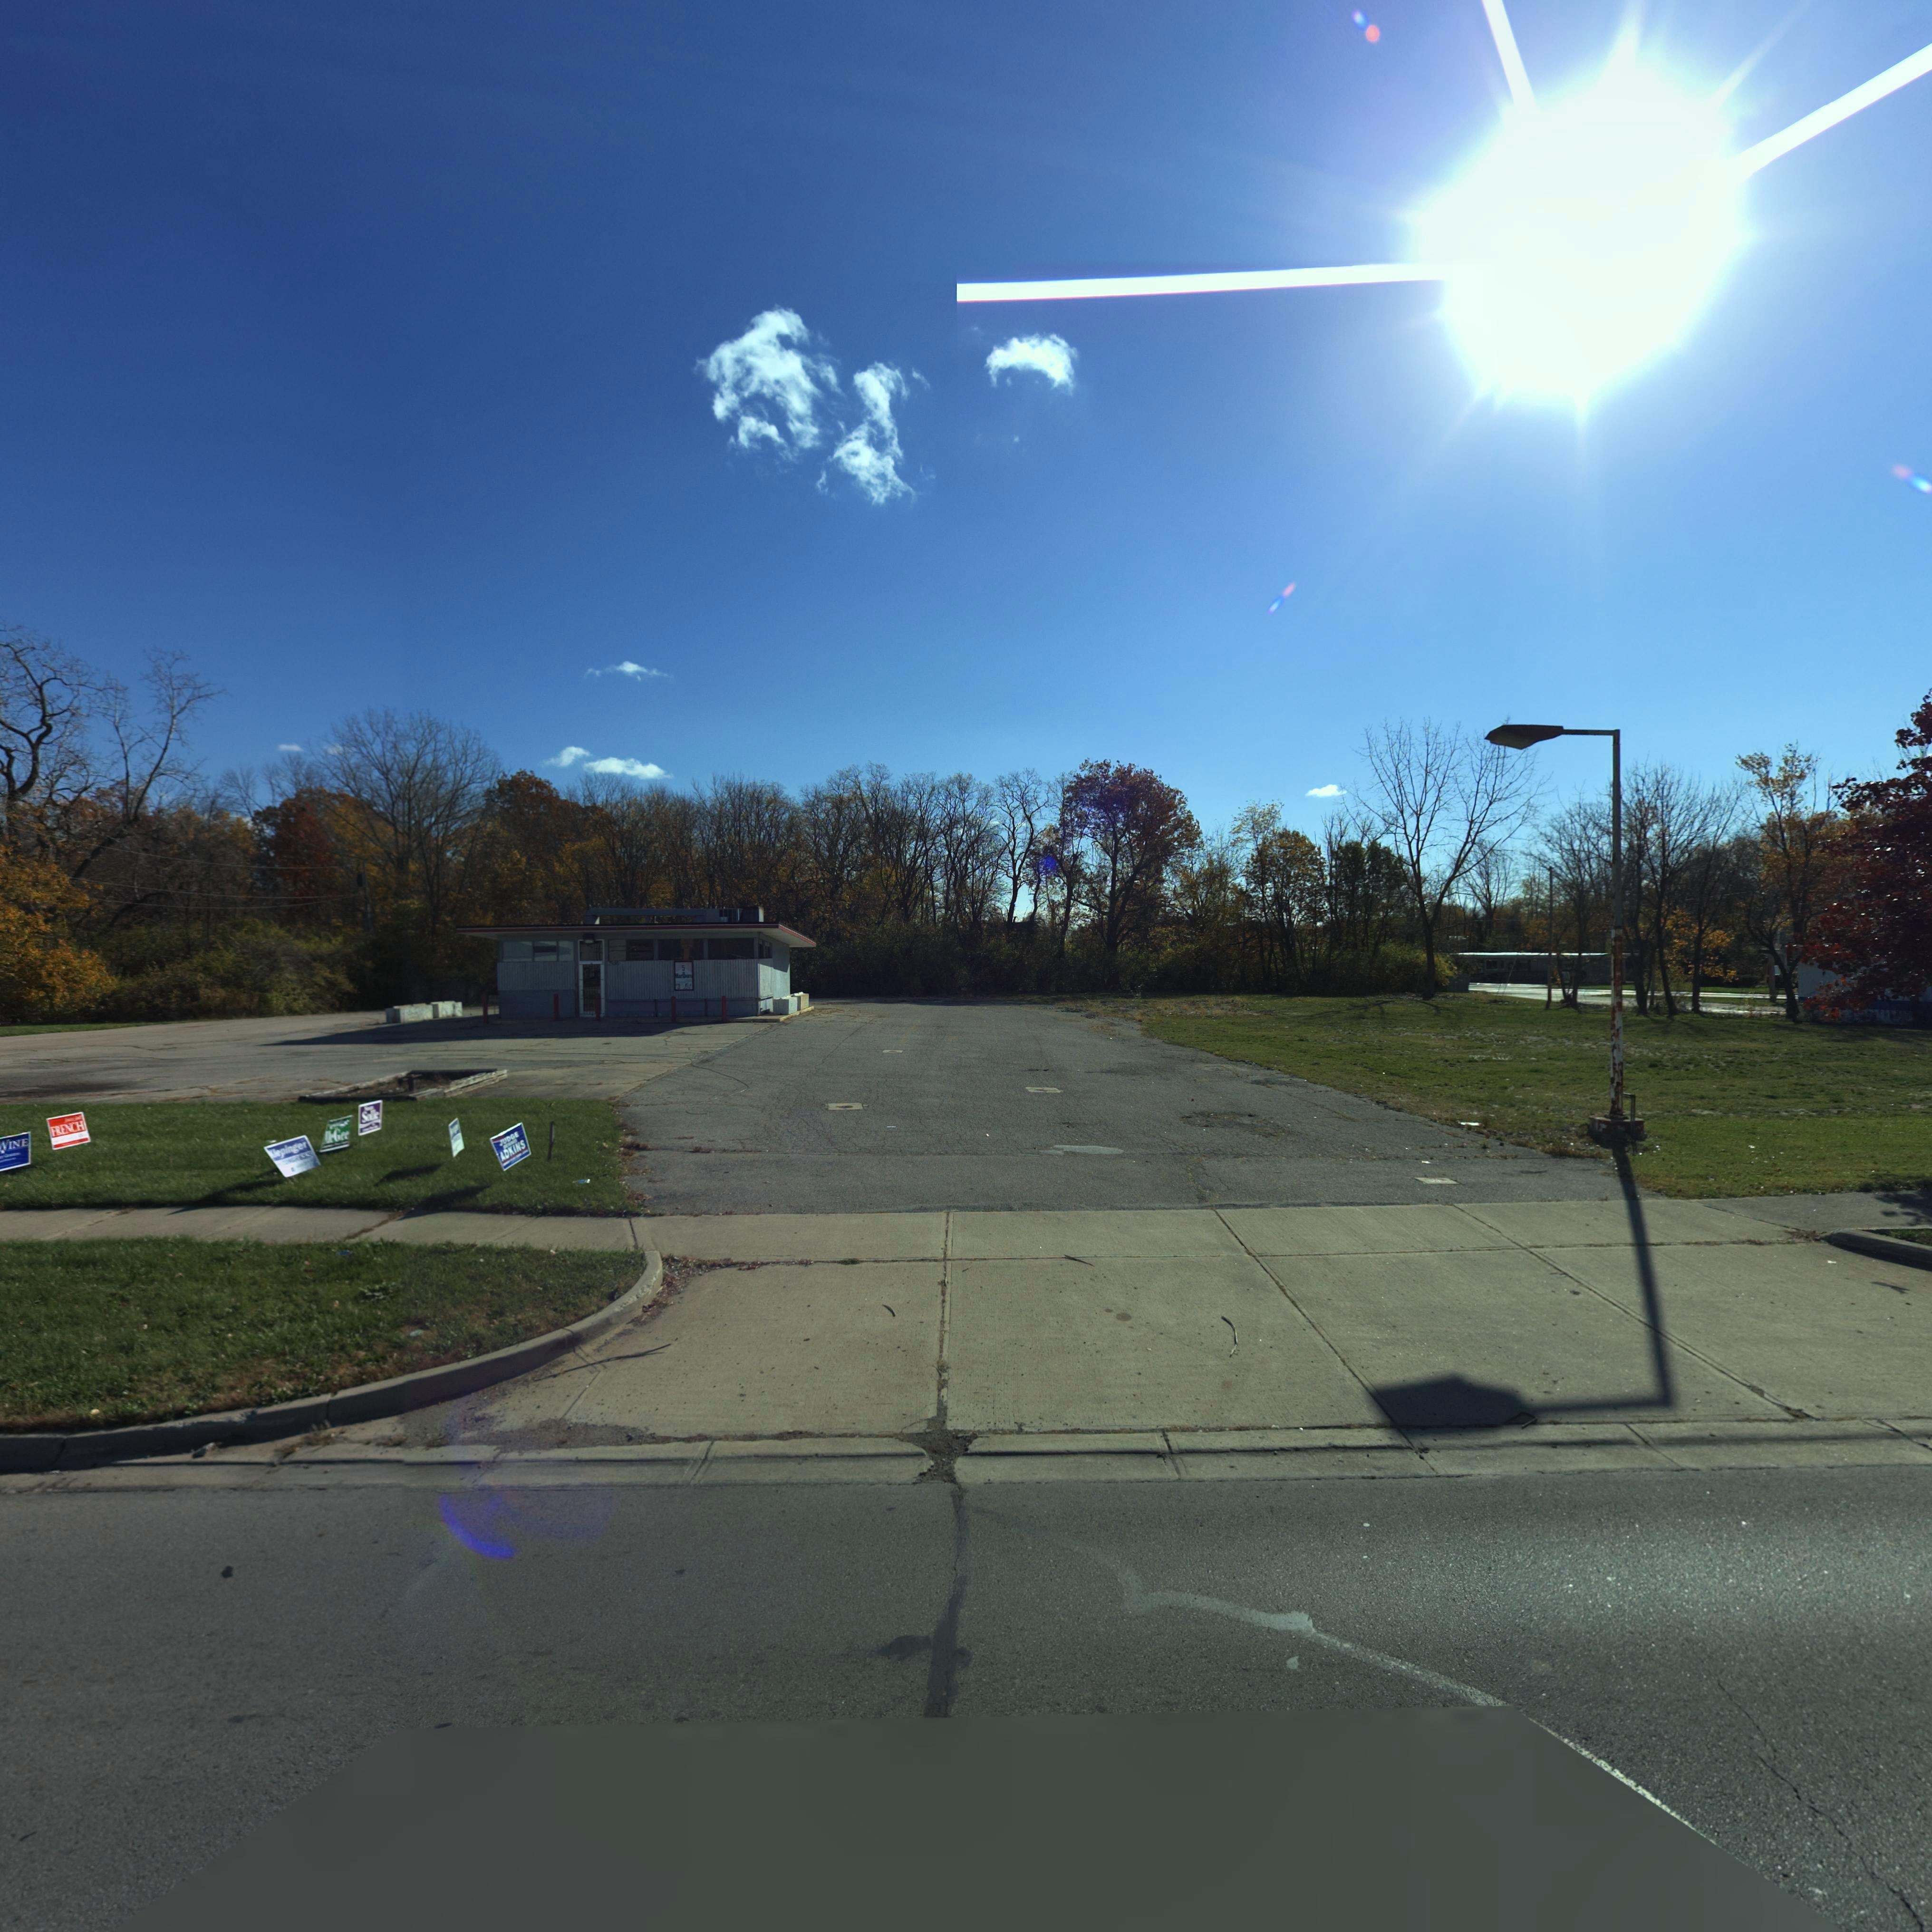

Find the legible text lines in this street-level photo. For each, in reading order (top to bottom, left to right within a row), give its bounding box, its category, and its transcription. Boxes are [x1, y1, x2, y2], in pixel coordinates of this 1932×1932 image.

[607, 960, 619, 966] StreetNumber: 75*8